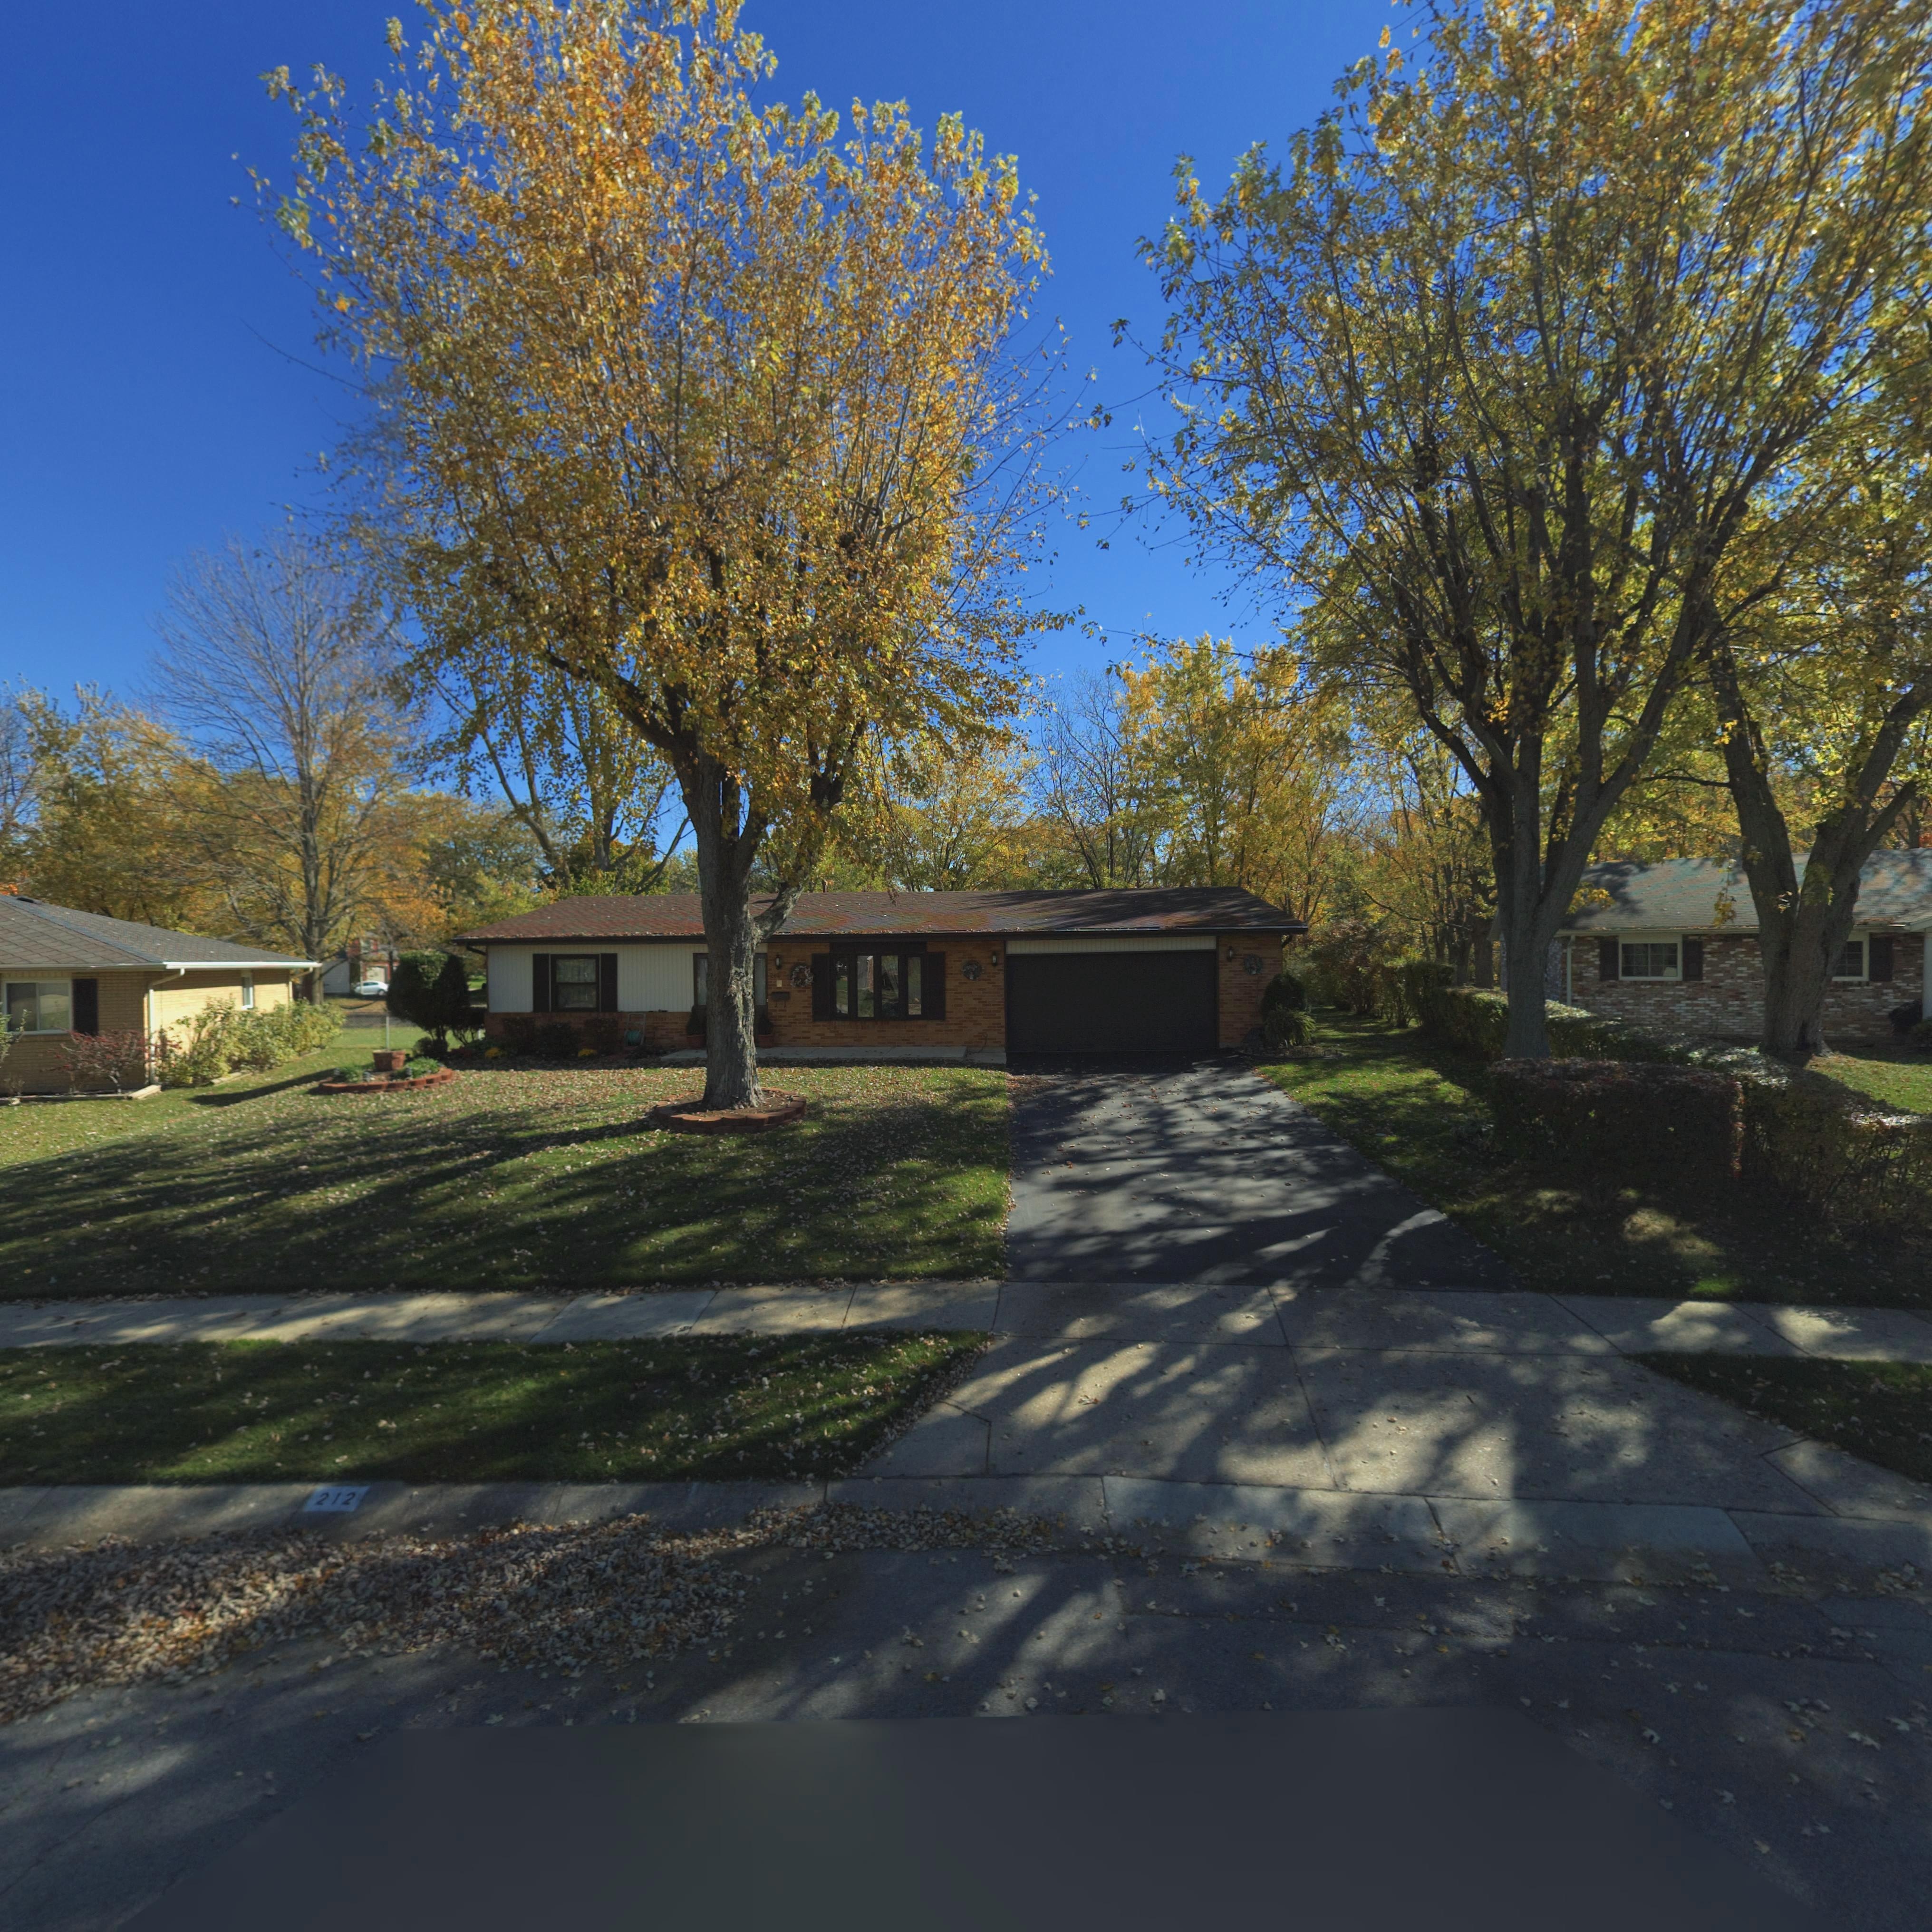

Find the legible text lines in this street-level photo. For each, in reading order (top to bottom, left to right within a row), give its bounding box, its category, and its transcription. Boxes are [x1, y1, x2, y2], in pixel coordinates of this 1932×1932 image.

[770, 972, 780, 978] StreetNumber: 212
[312, 1491, 357, 1505] StreetNumber: 212